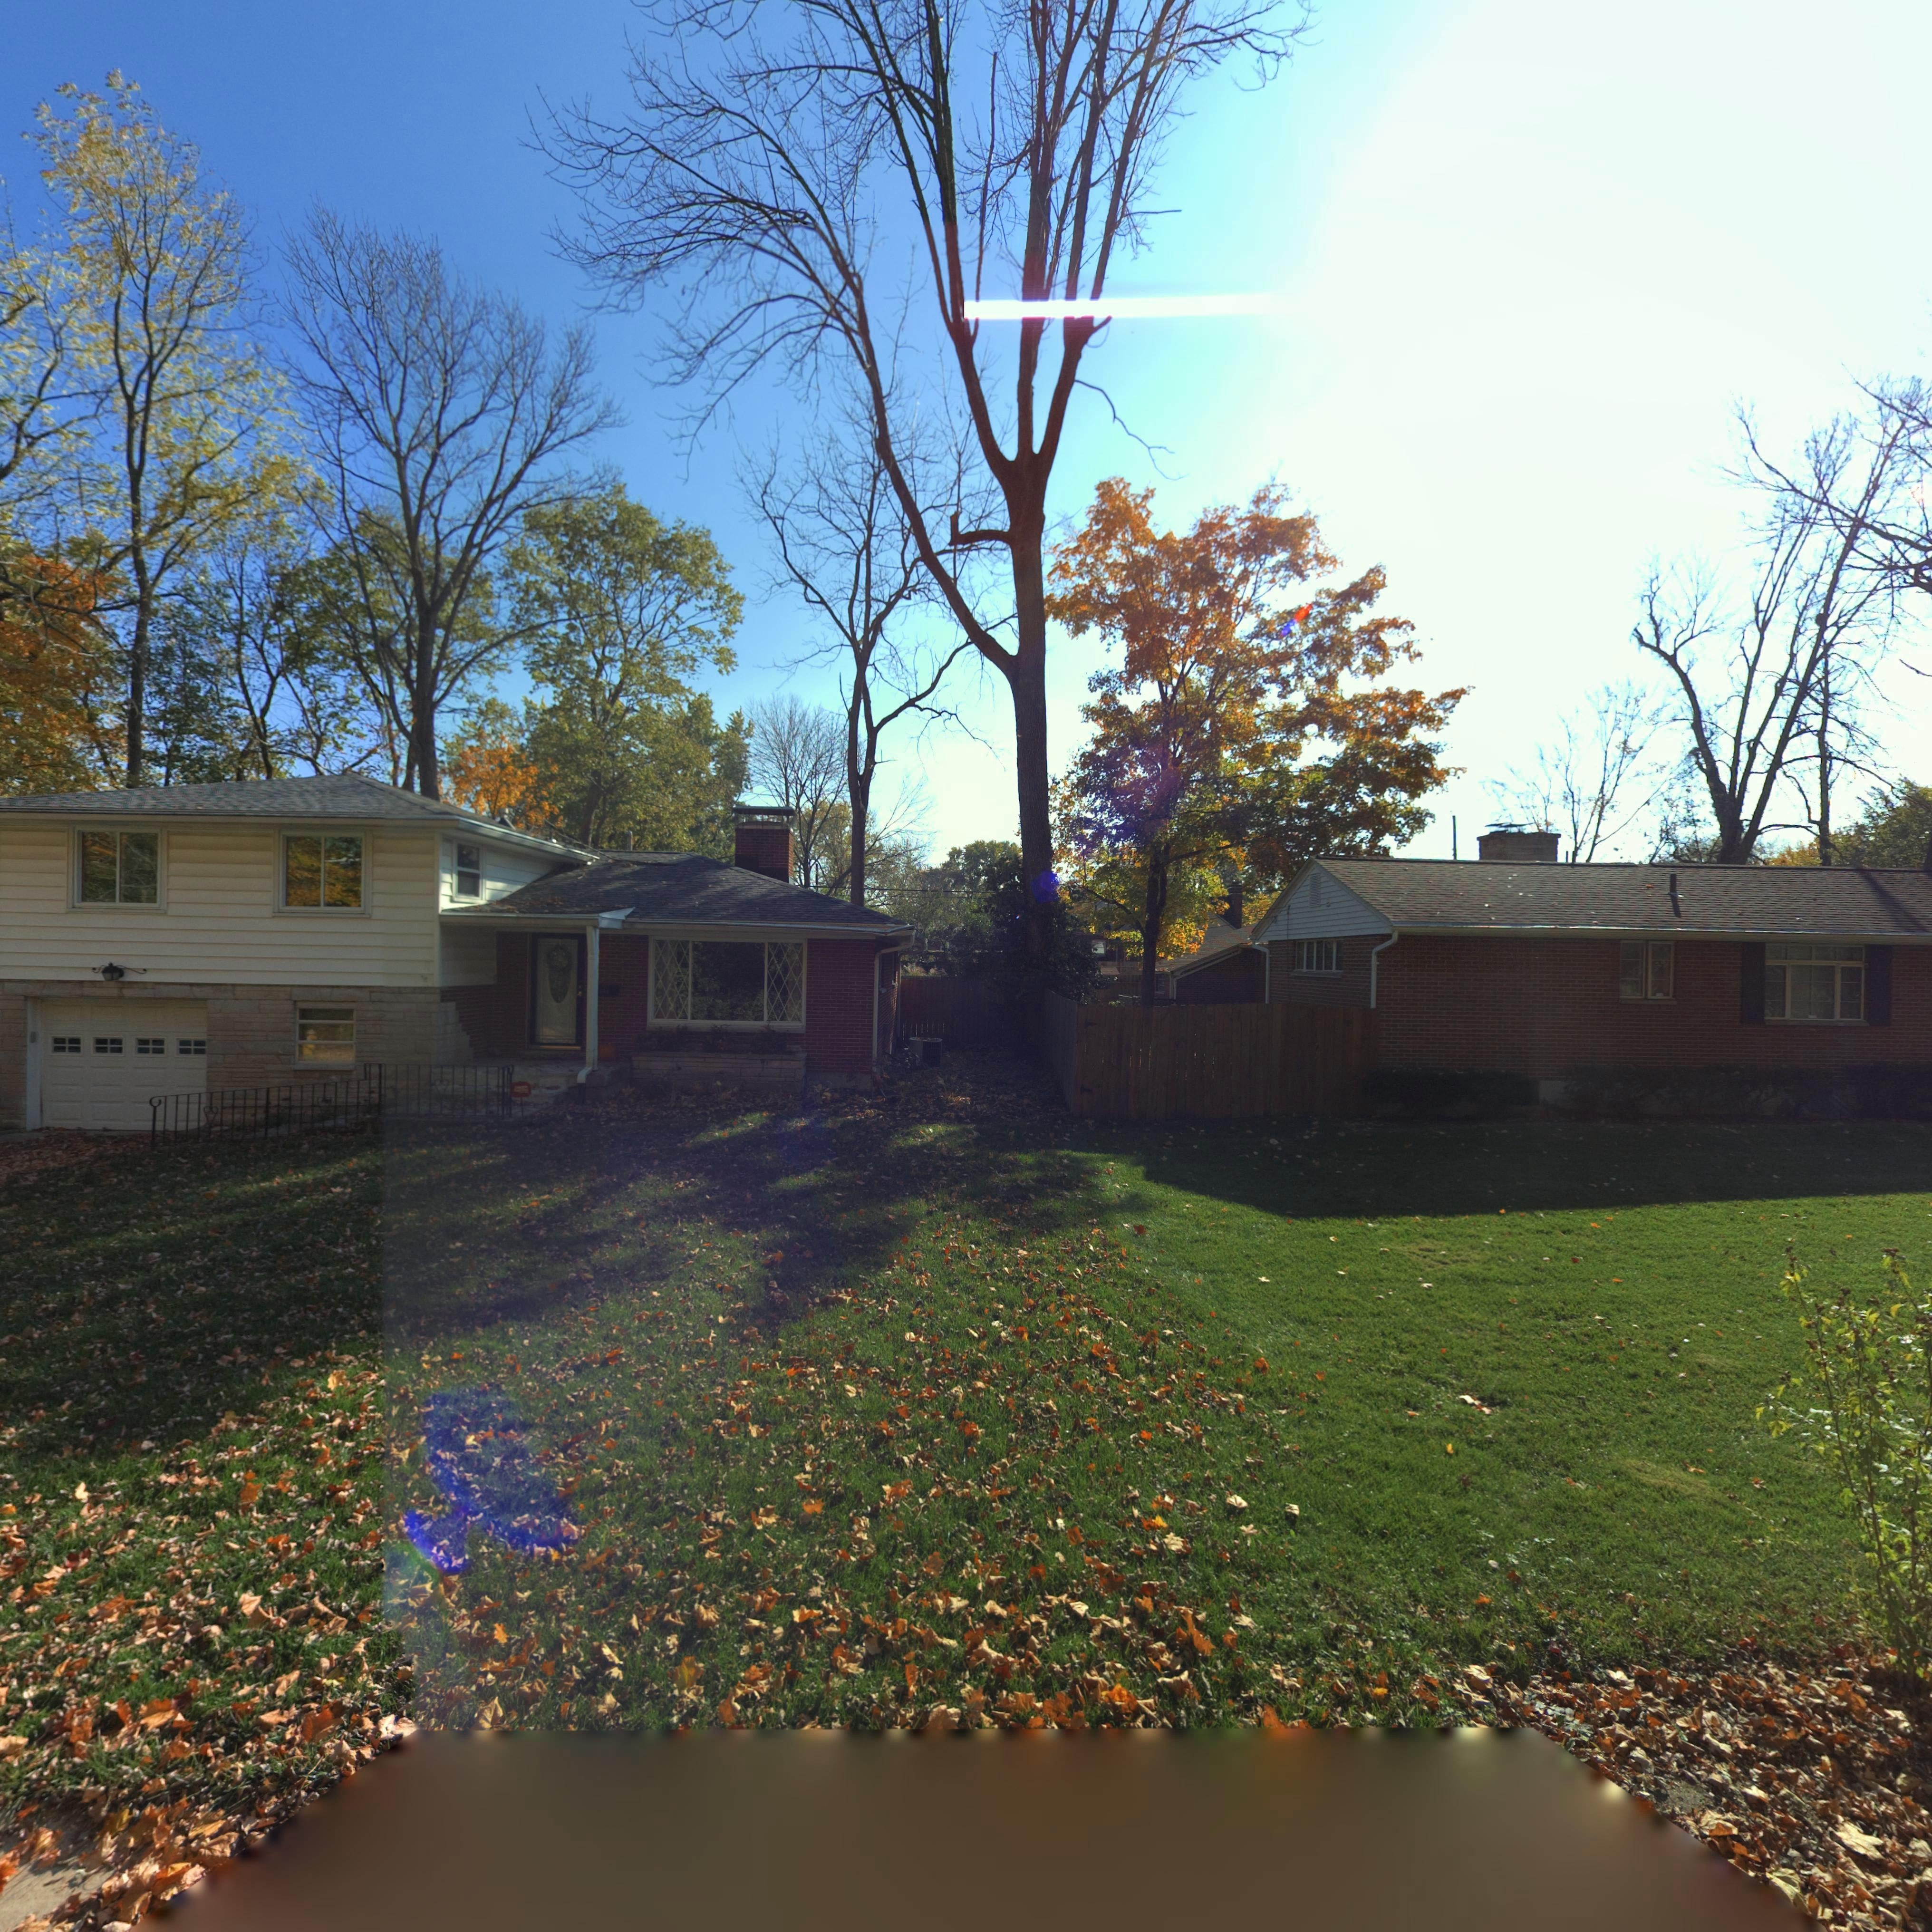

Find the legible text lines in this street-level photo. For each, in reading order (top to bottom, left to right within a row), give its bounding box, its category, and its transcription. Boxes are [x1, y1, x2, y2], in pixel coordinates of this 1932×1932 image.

[599, 988, 609, 995] StreetNumber: 6**